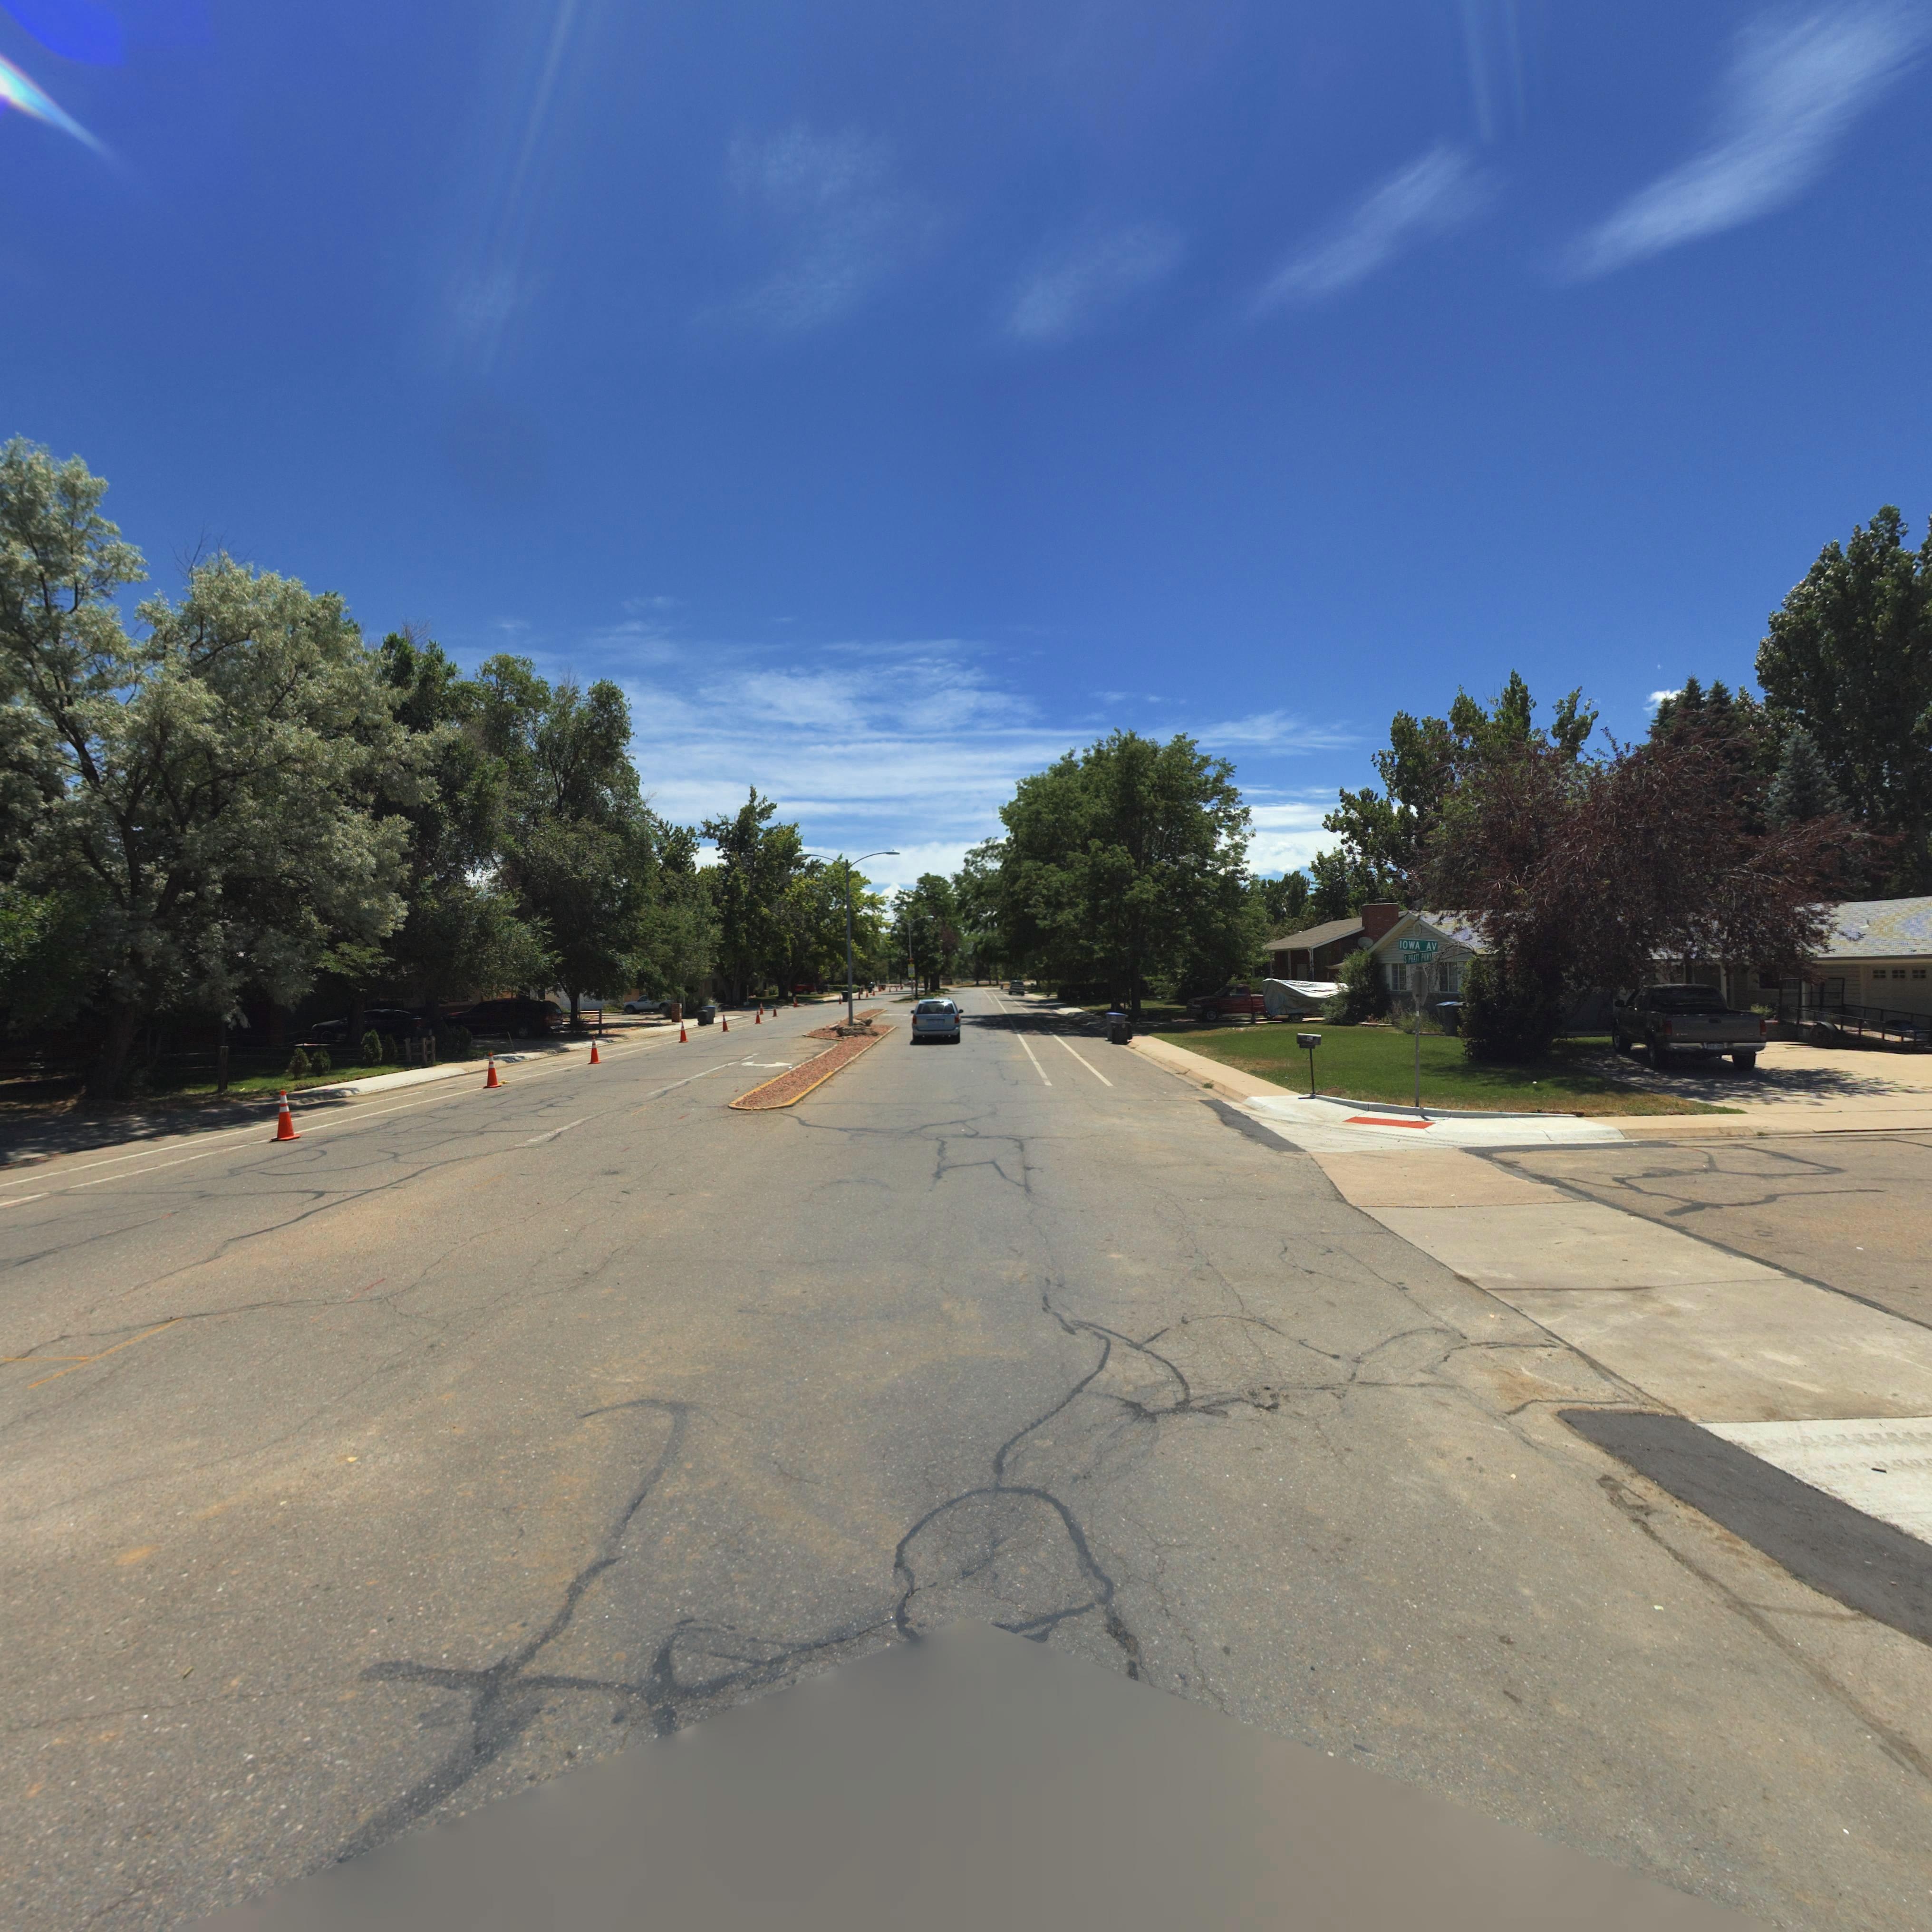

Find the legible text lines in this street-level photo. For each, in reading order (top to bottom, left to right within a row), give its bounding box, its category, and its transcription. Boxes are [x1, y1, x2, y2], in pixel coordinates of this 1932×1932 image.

[1399, 940, 1437, 951] StreetName: IOWA AV
[1404, 951, 1432, 964] StreetName: S PRATT PKWY